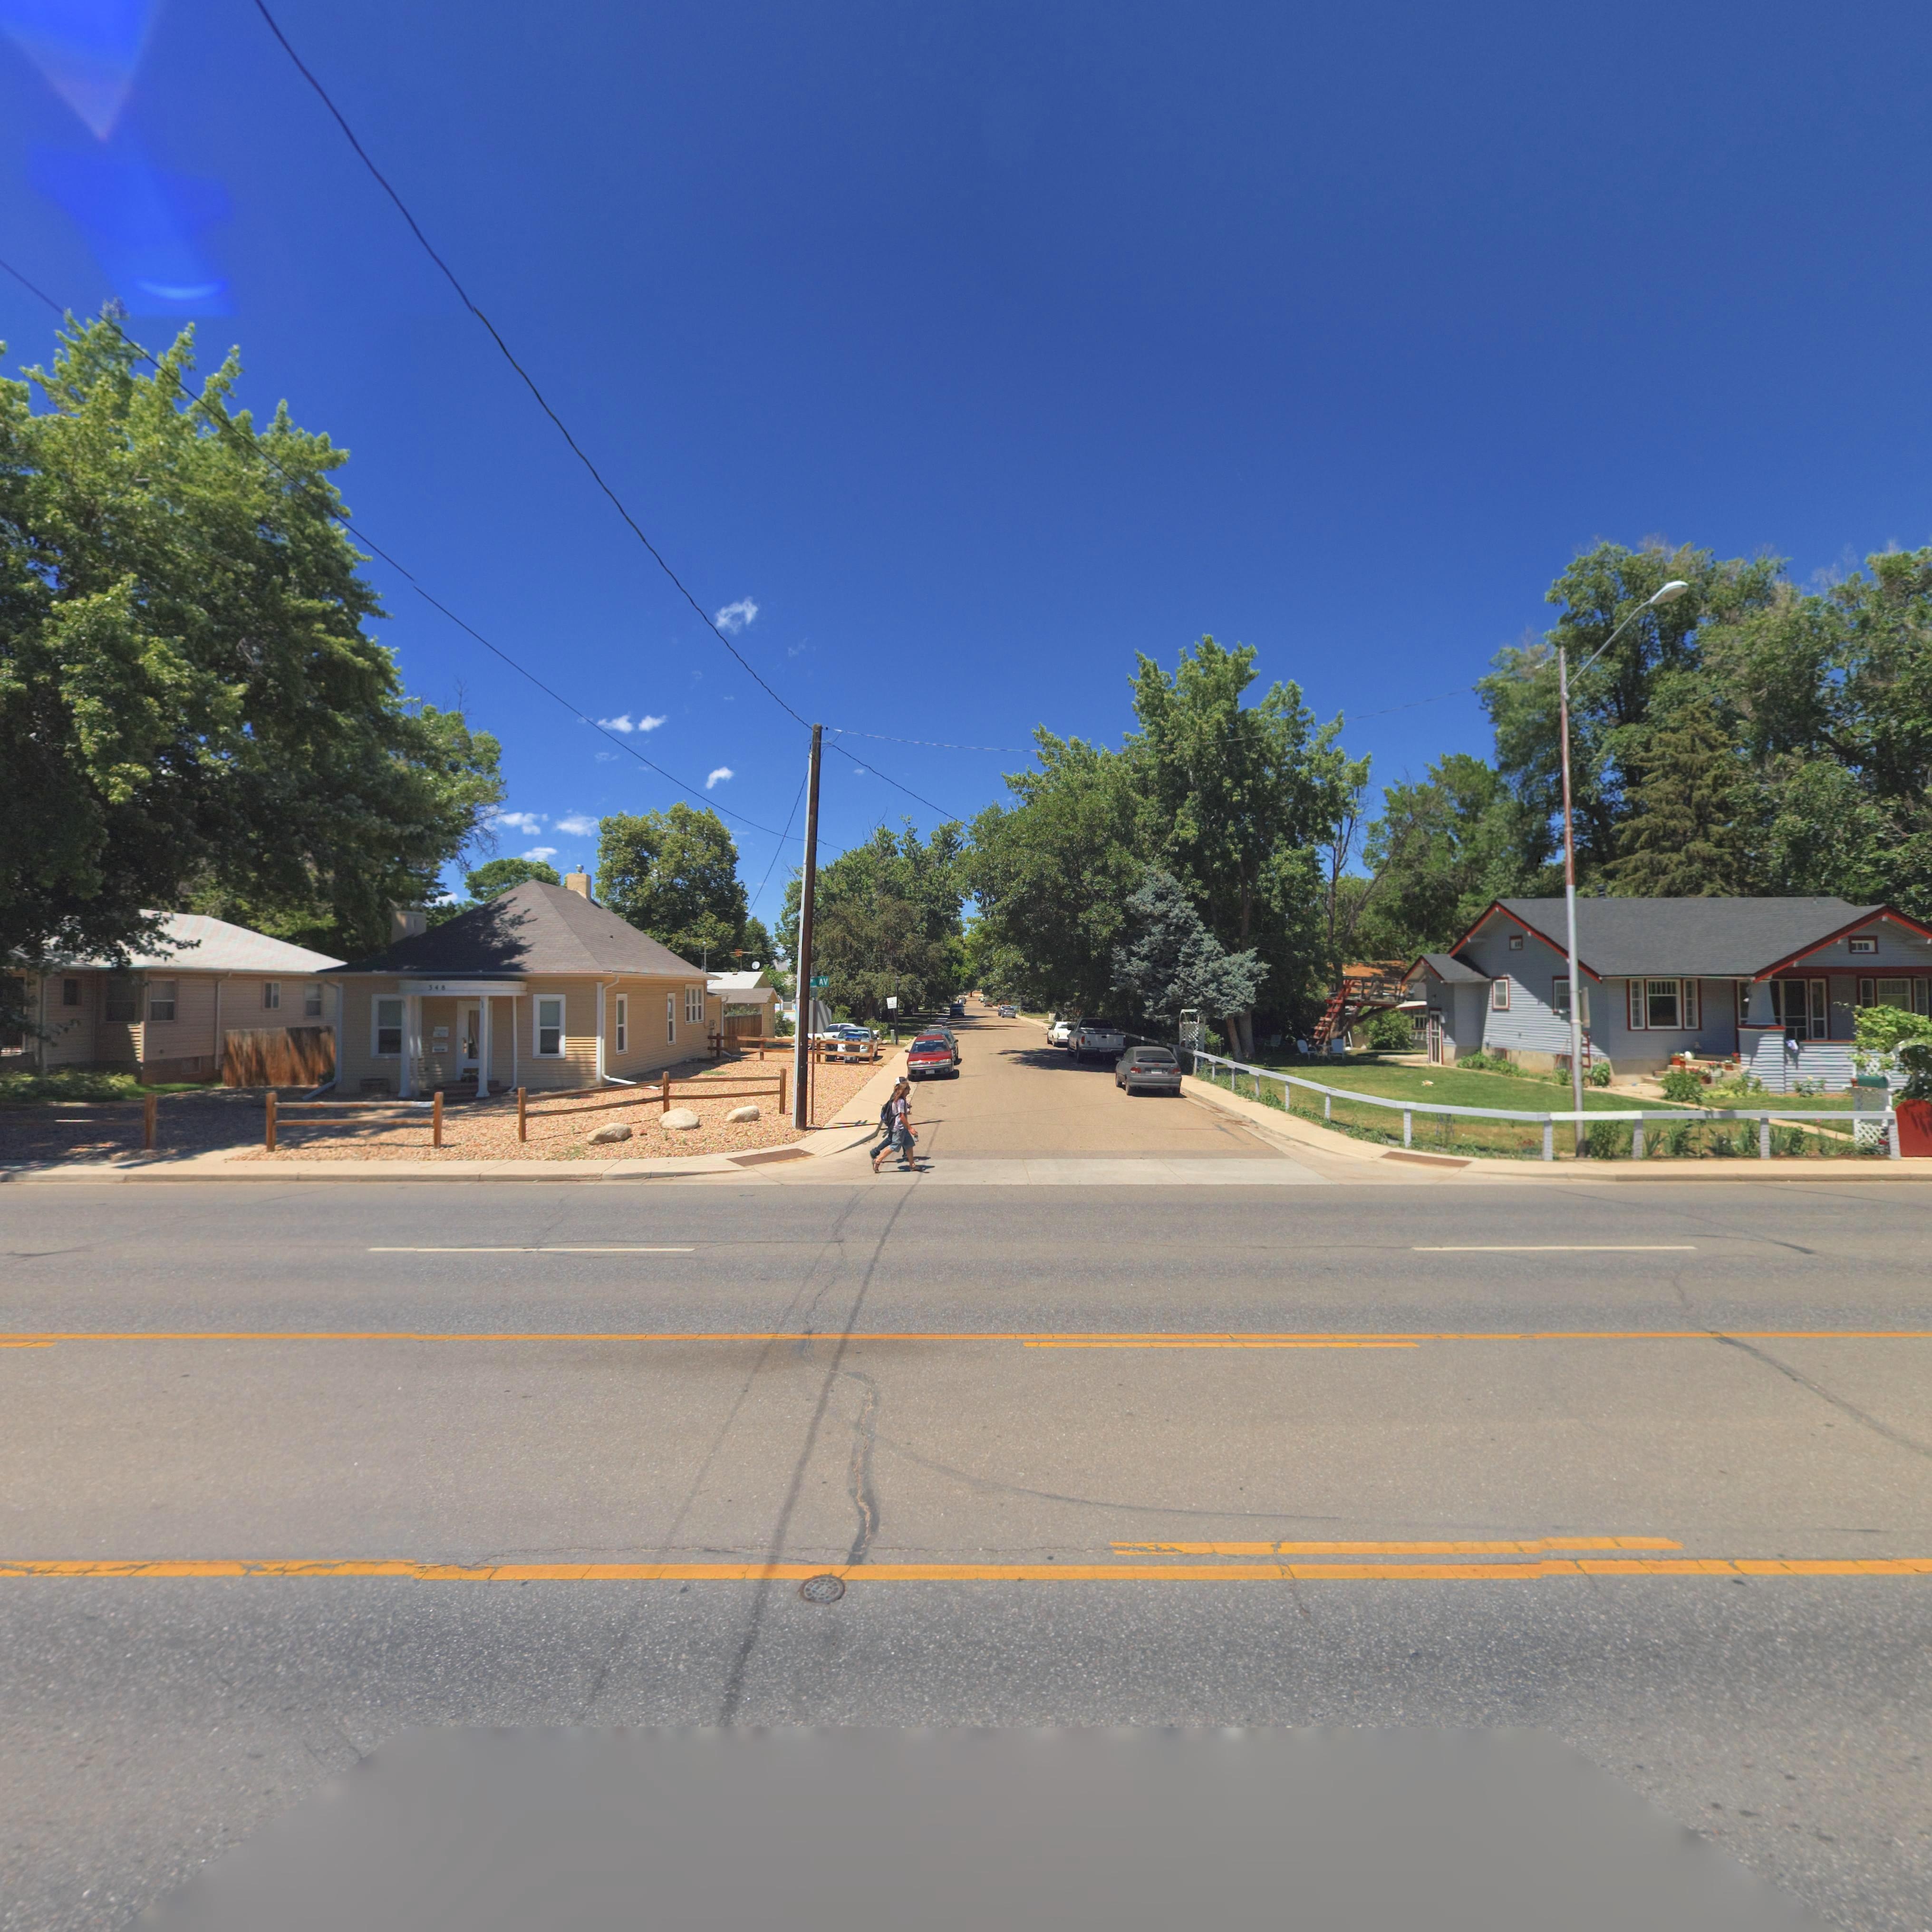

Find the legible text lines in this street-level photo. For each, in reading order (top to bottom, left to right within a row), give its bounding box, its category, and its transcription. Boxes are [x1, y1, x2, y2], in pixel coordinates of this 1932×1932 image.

[810, 977, 828, 985] StreetName: H AV
[428, 984, 445, 991] StreetNumber: 348